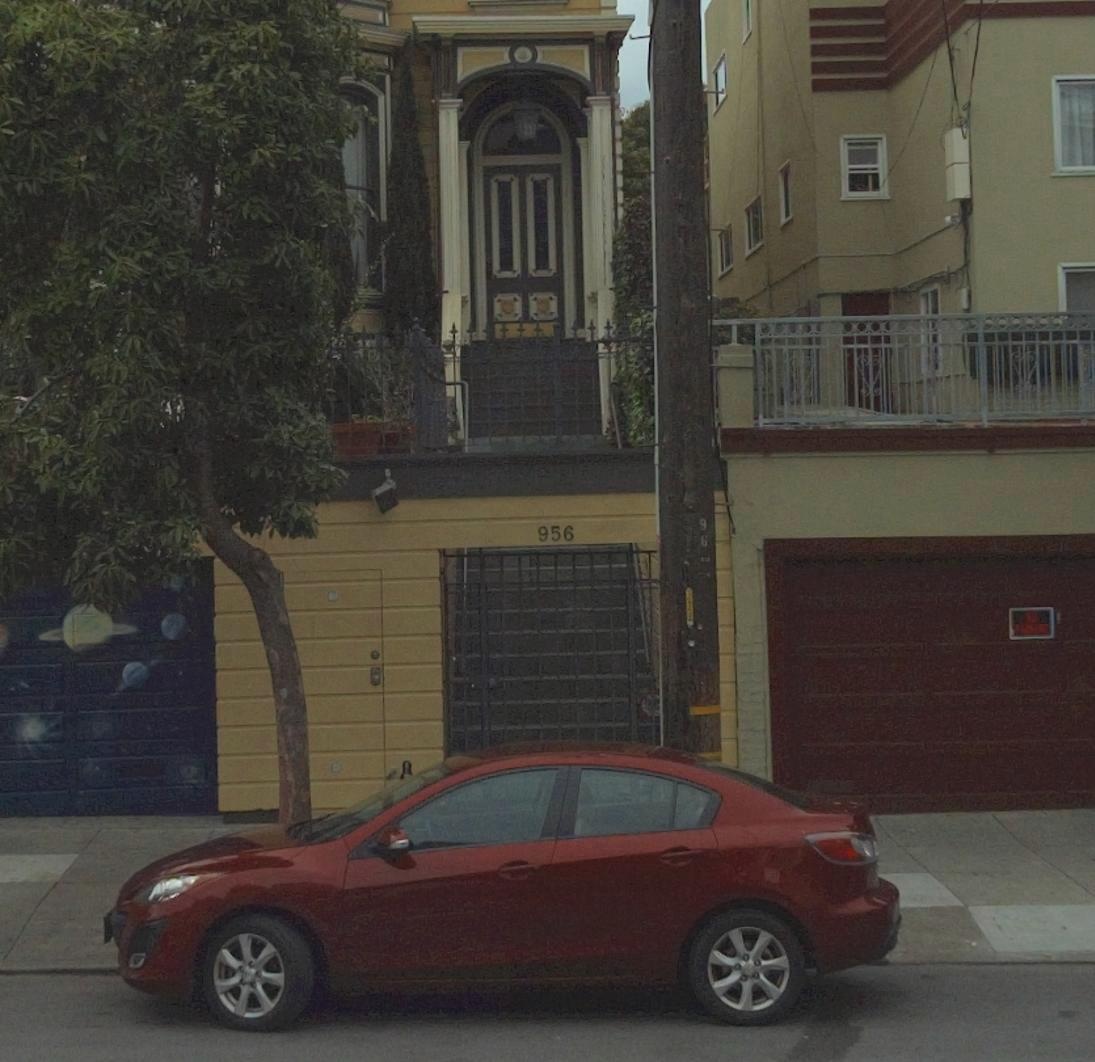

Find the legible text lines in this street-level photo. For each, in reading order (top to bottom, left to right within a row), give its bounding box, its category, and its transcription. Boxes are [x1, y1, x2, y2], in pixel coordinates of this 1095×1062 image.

[537, 524, 575, 543] StreetNumber: 956
[698, 515, 709, 550] None: 96